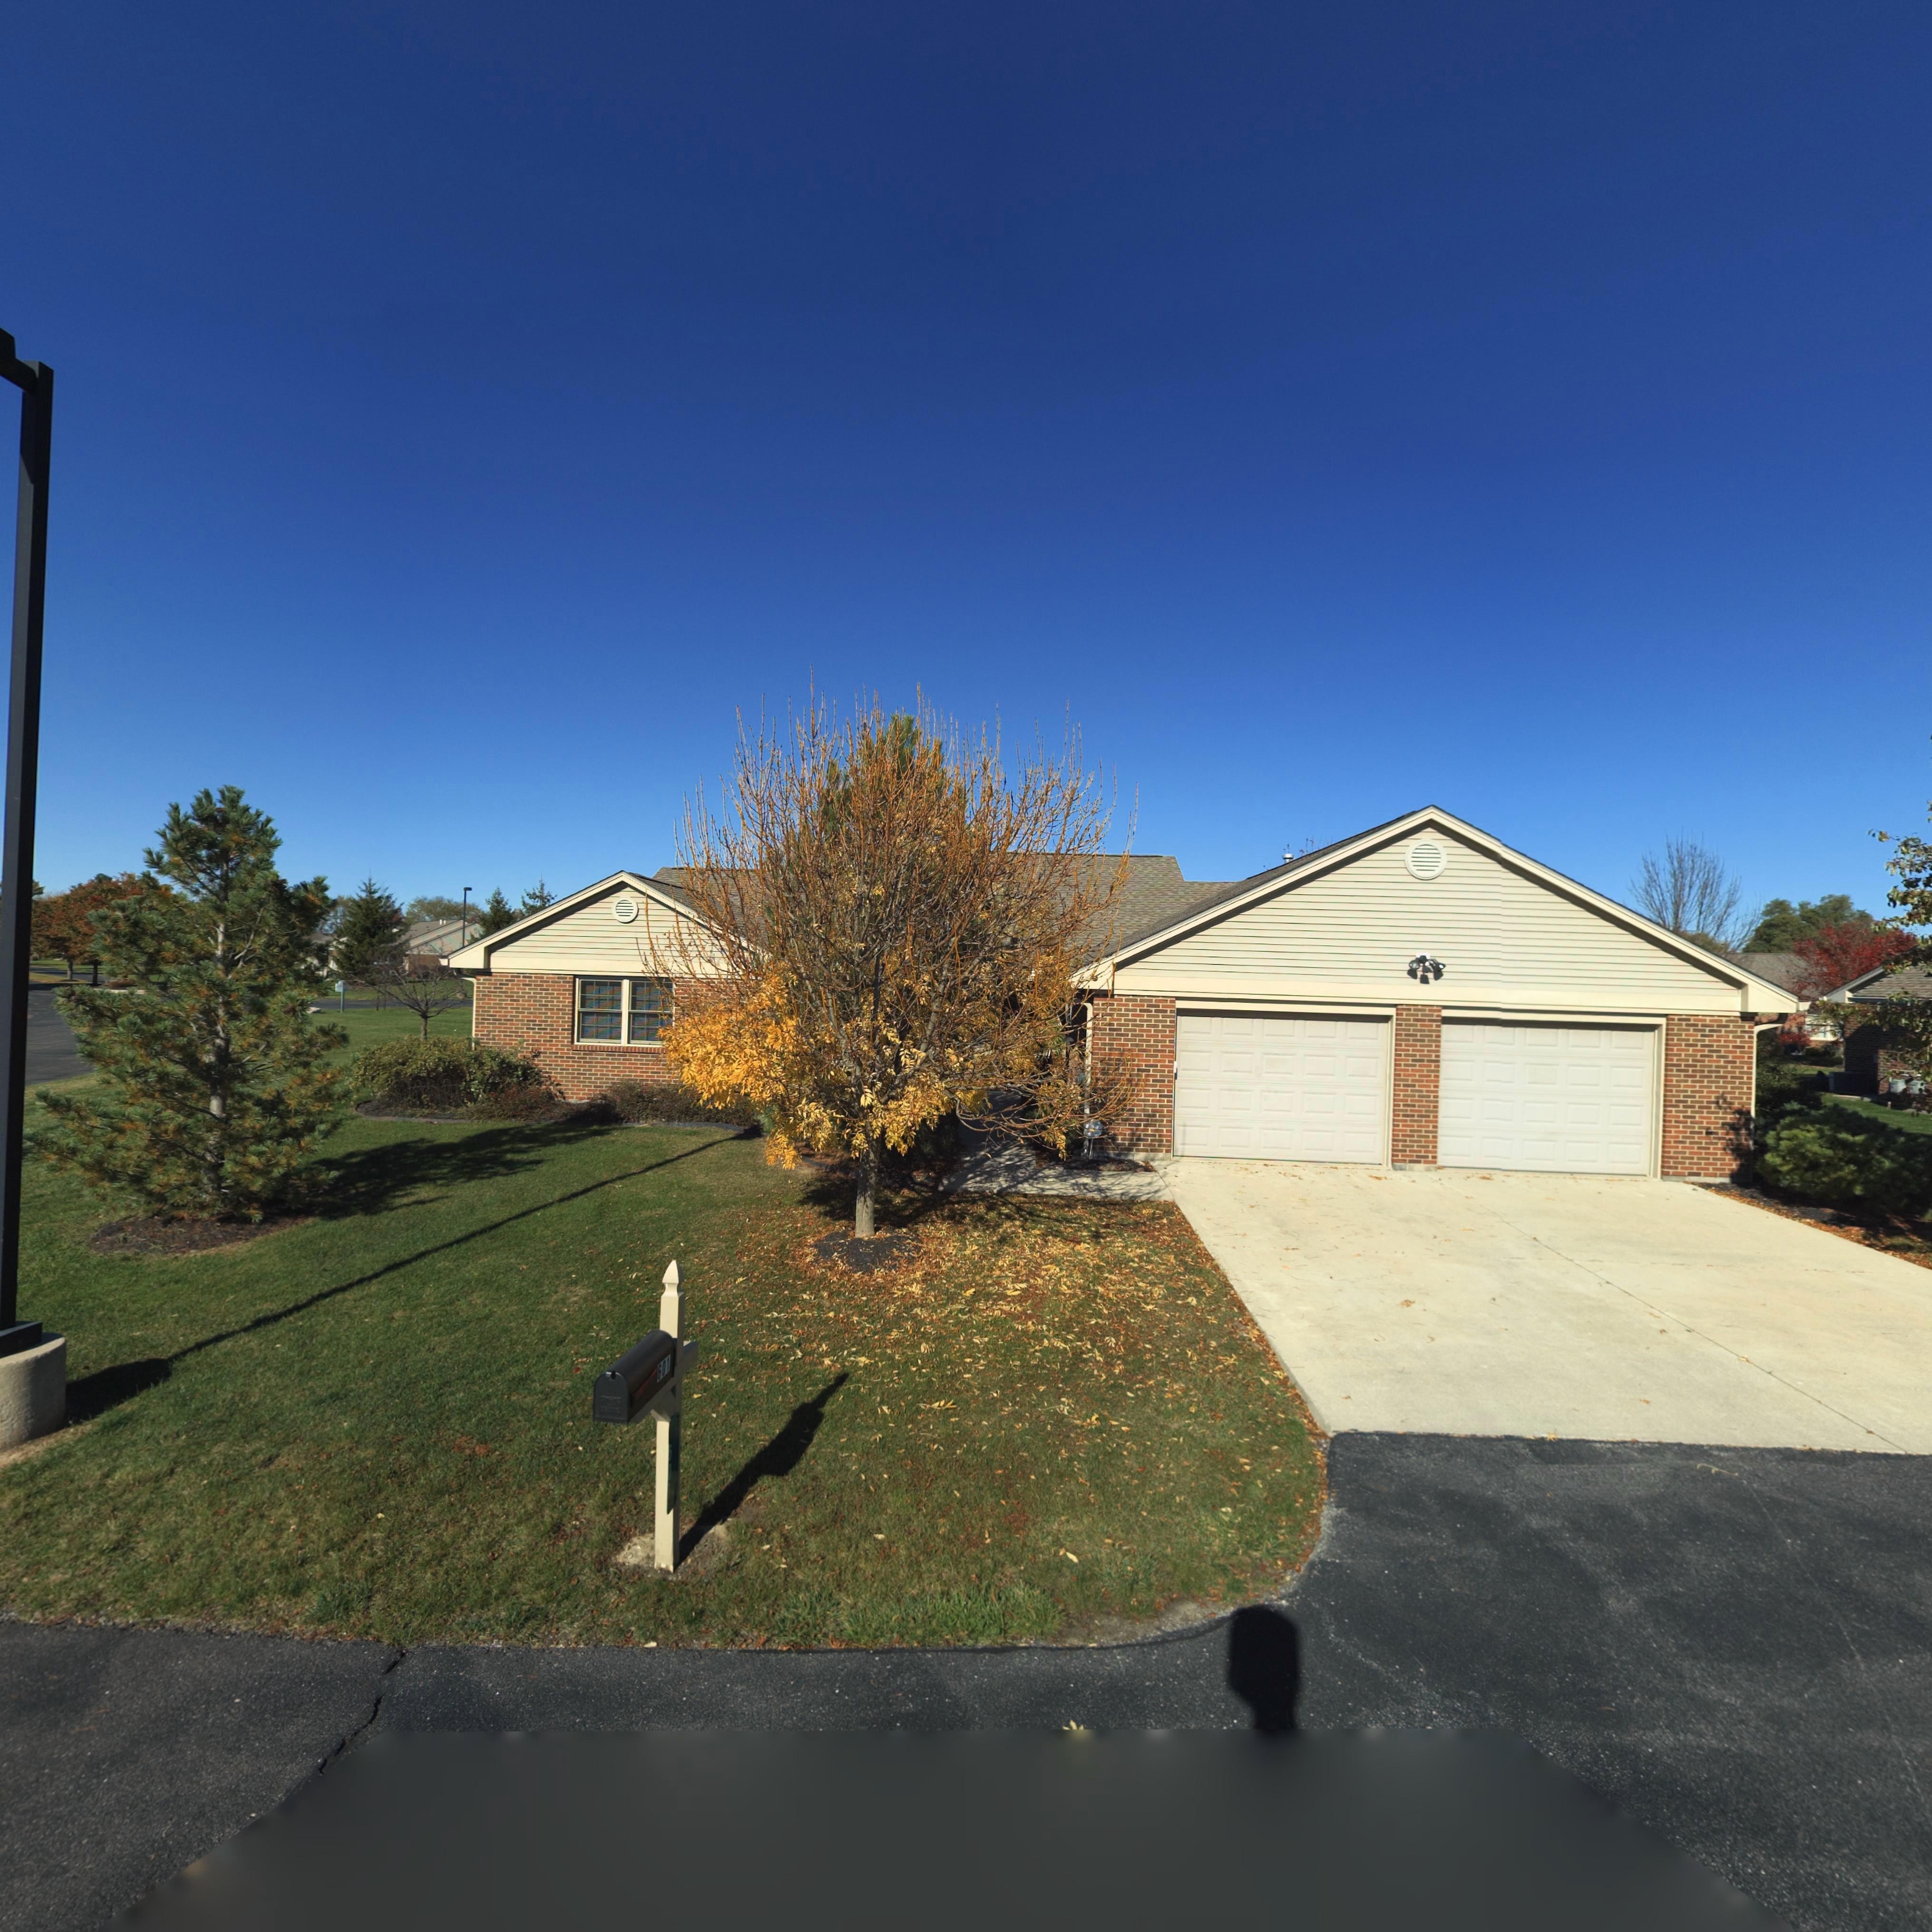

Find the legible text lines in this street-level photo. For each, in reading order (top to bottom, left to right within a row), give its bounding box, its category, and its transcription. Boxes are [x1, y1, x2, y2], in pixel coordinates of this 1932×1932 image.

[657, 1355, 670, 1381] StreetNumber: 601